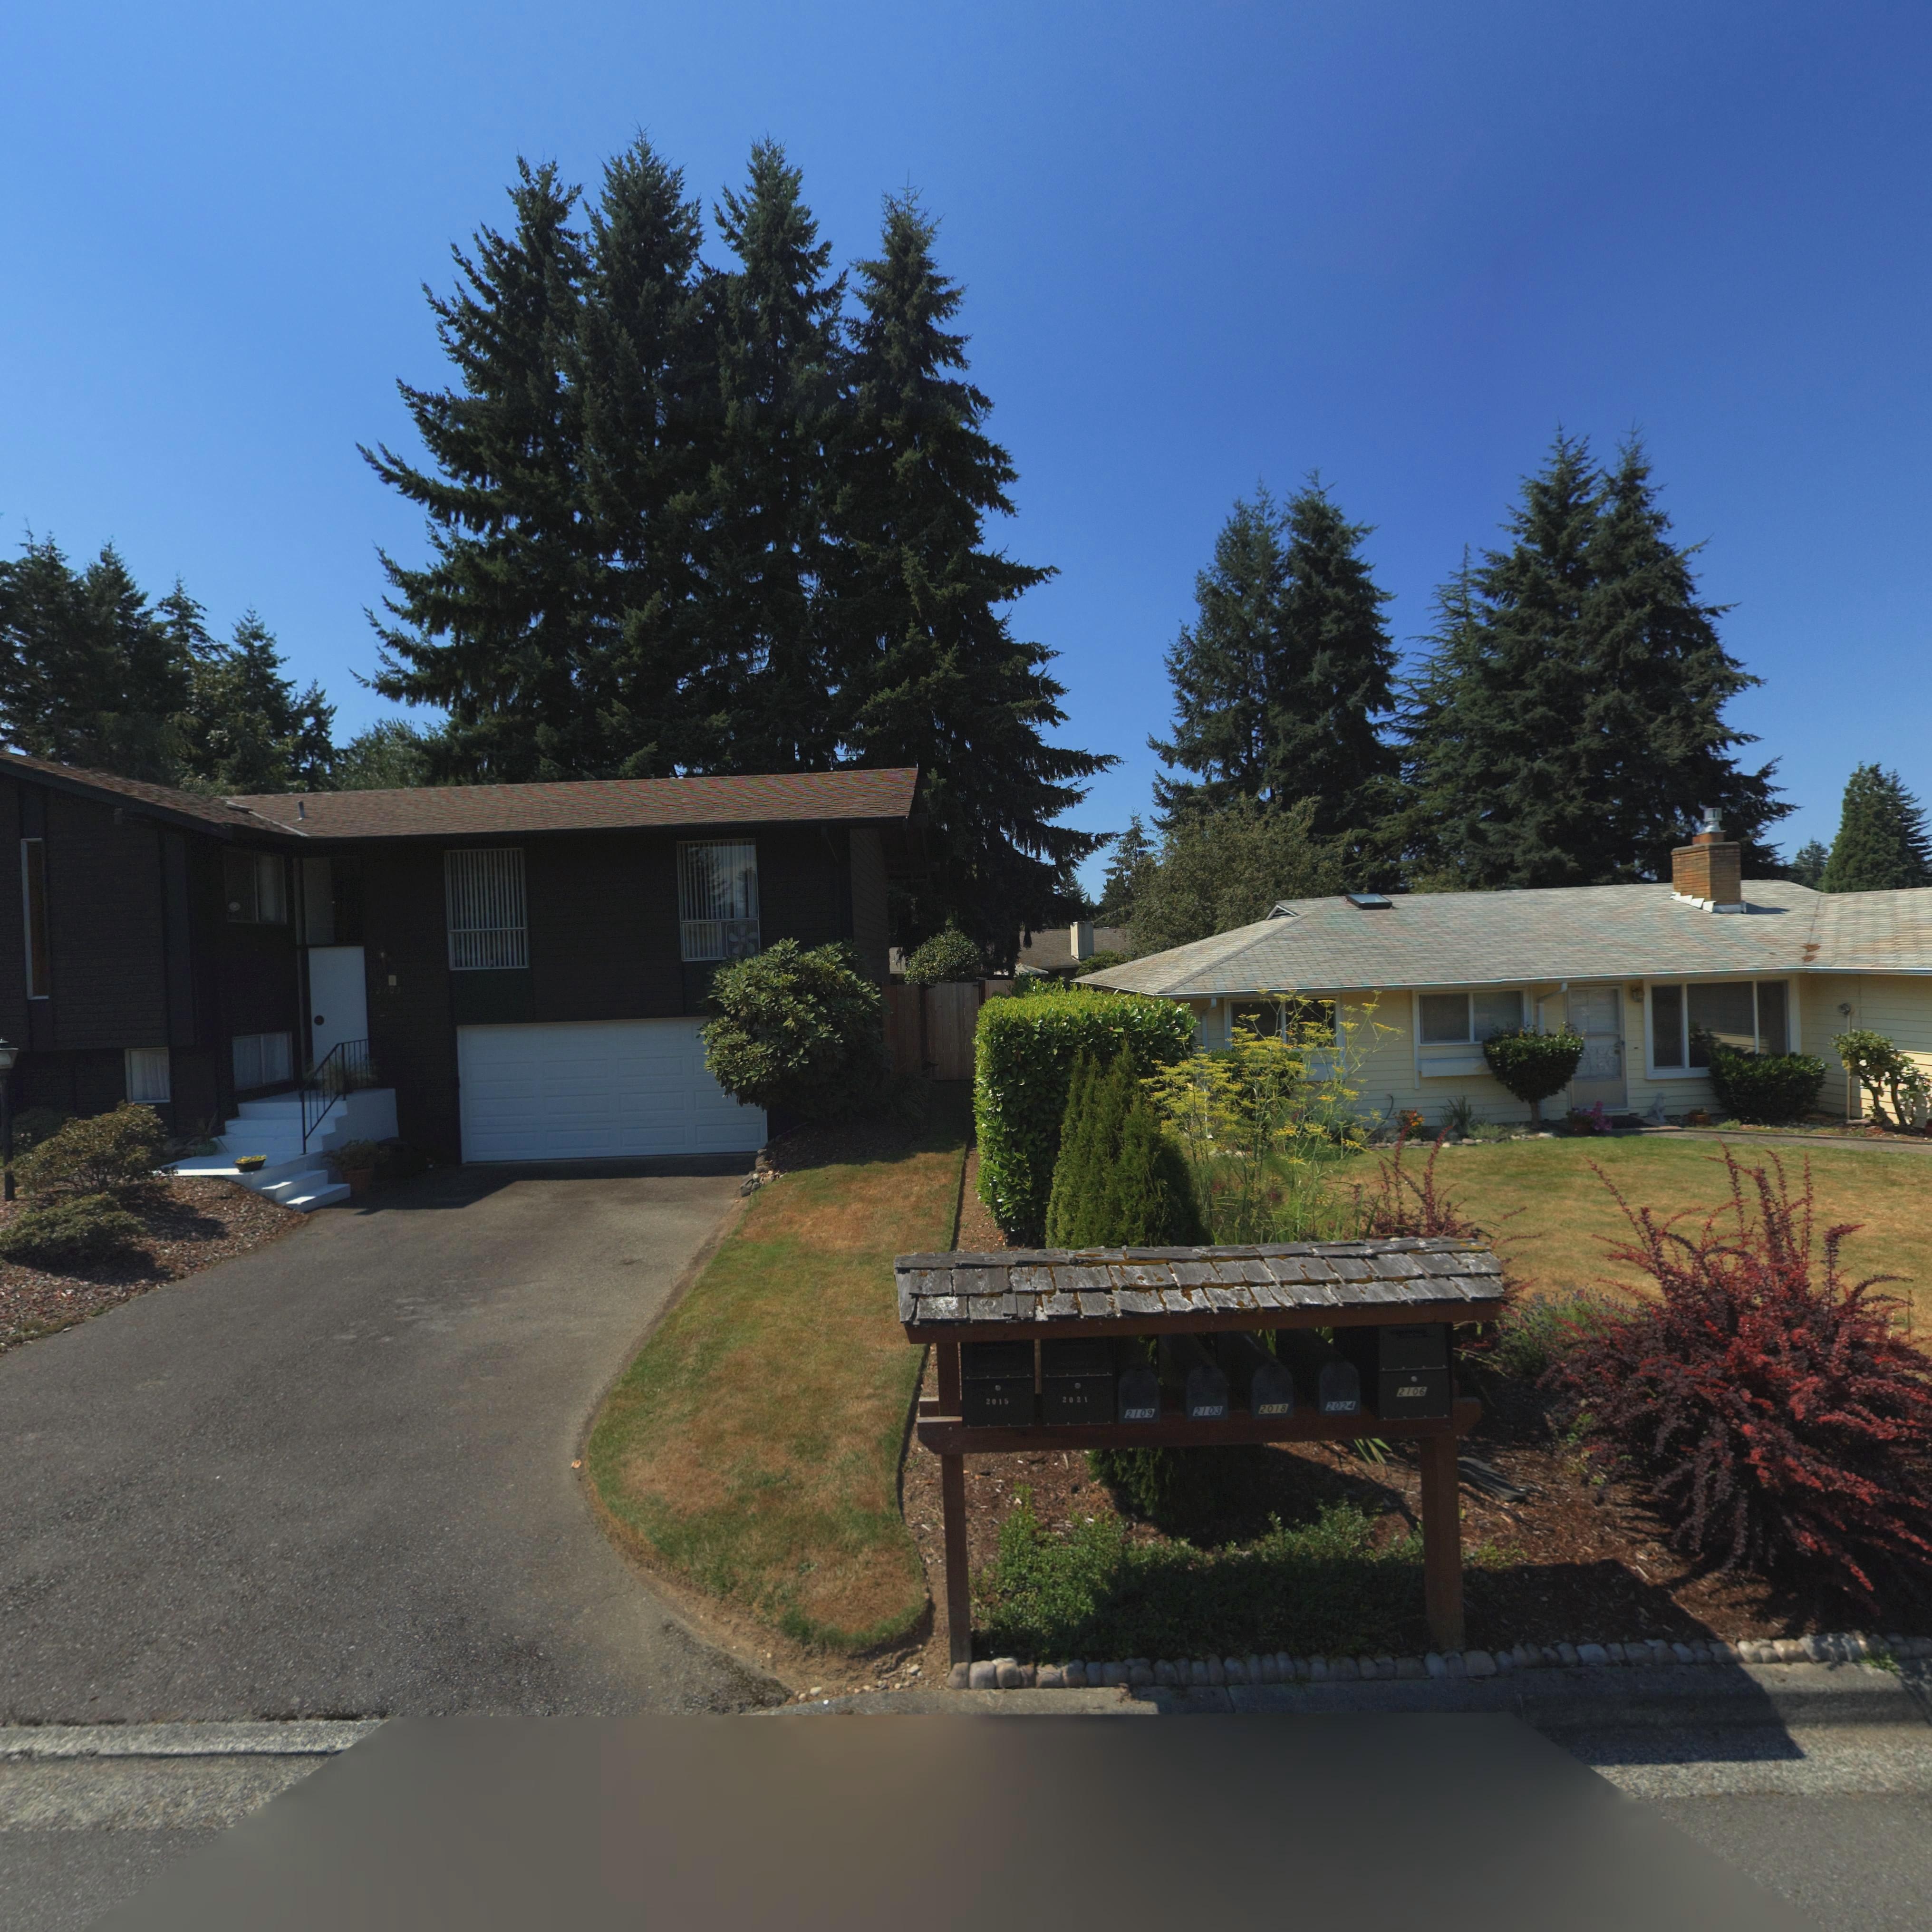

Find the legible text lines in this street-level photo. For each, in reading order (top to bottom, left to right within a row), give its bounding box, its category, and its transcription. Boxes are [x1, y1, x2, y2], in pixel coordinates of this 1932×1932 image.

[1397, 1386, 1426, 1396] StreetNumber: 2106
[985, 1398, 1008, 1406] StreetNumber: 2015
[1124, 1407, 1156, 1418] StreetNumber: 2103
[1192, 1405, 1224, 1417] StreetNumber: 2103
[1259, 1402, 1286, 1415] StreetNumber: 2018
[1325, 1401, 1357, 1412] StreetNumber: 2024